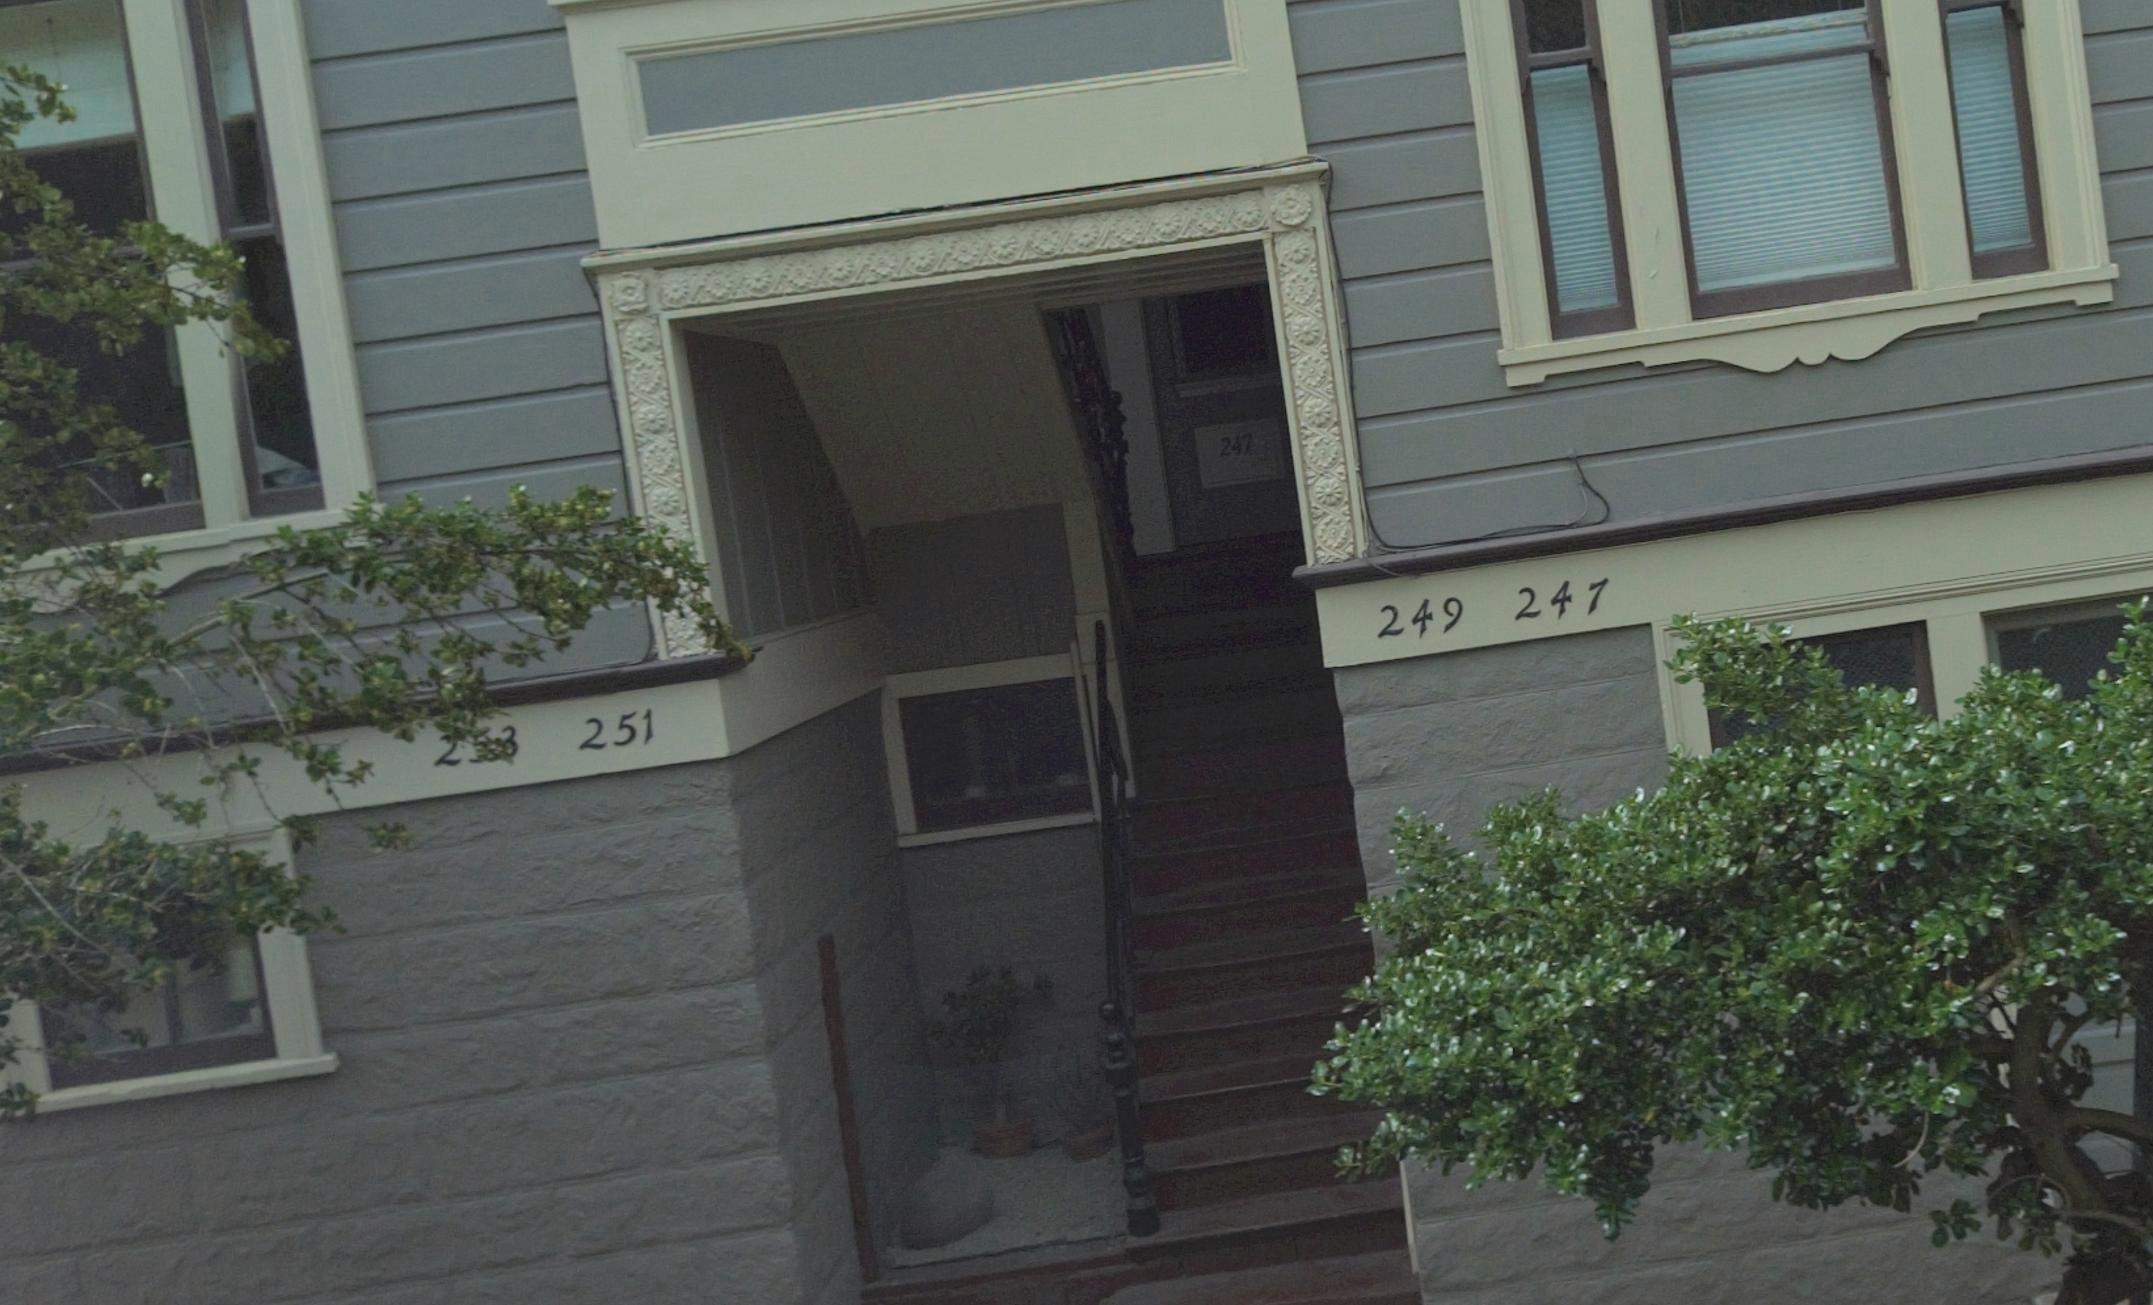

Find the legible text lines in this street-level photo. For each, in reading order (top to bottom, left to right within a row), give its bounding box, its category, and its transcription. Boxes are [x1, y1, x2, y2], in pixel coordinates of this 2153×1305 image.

[1216, 429, 1256, 460] StreetNumber: 247
[1373, 590, 1469, 642] StreetNumber: 249
[1510, 574, 1615, 625] StreetNumber: 247
[571, 701, 660, 758] StreetNumber: 251